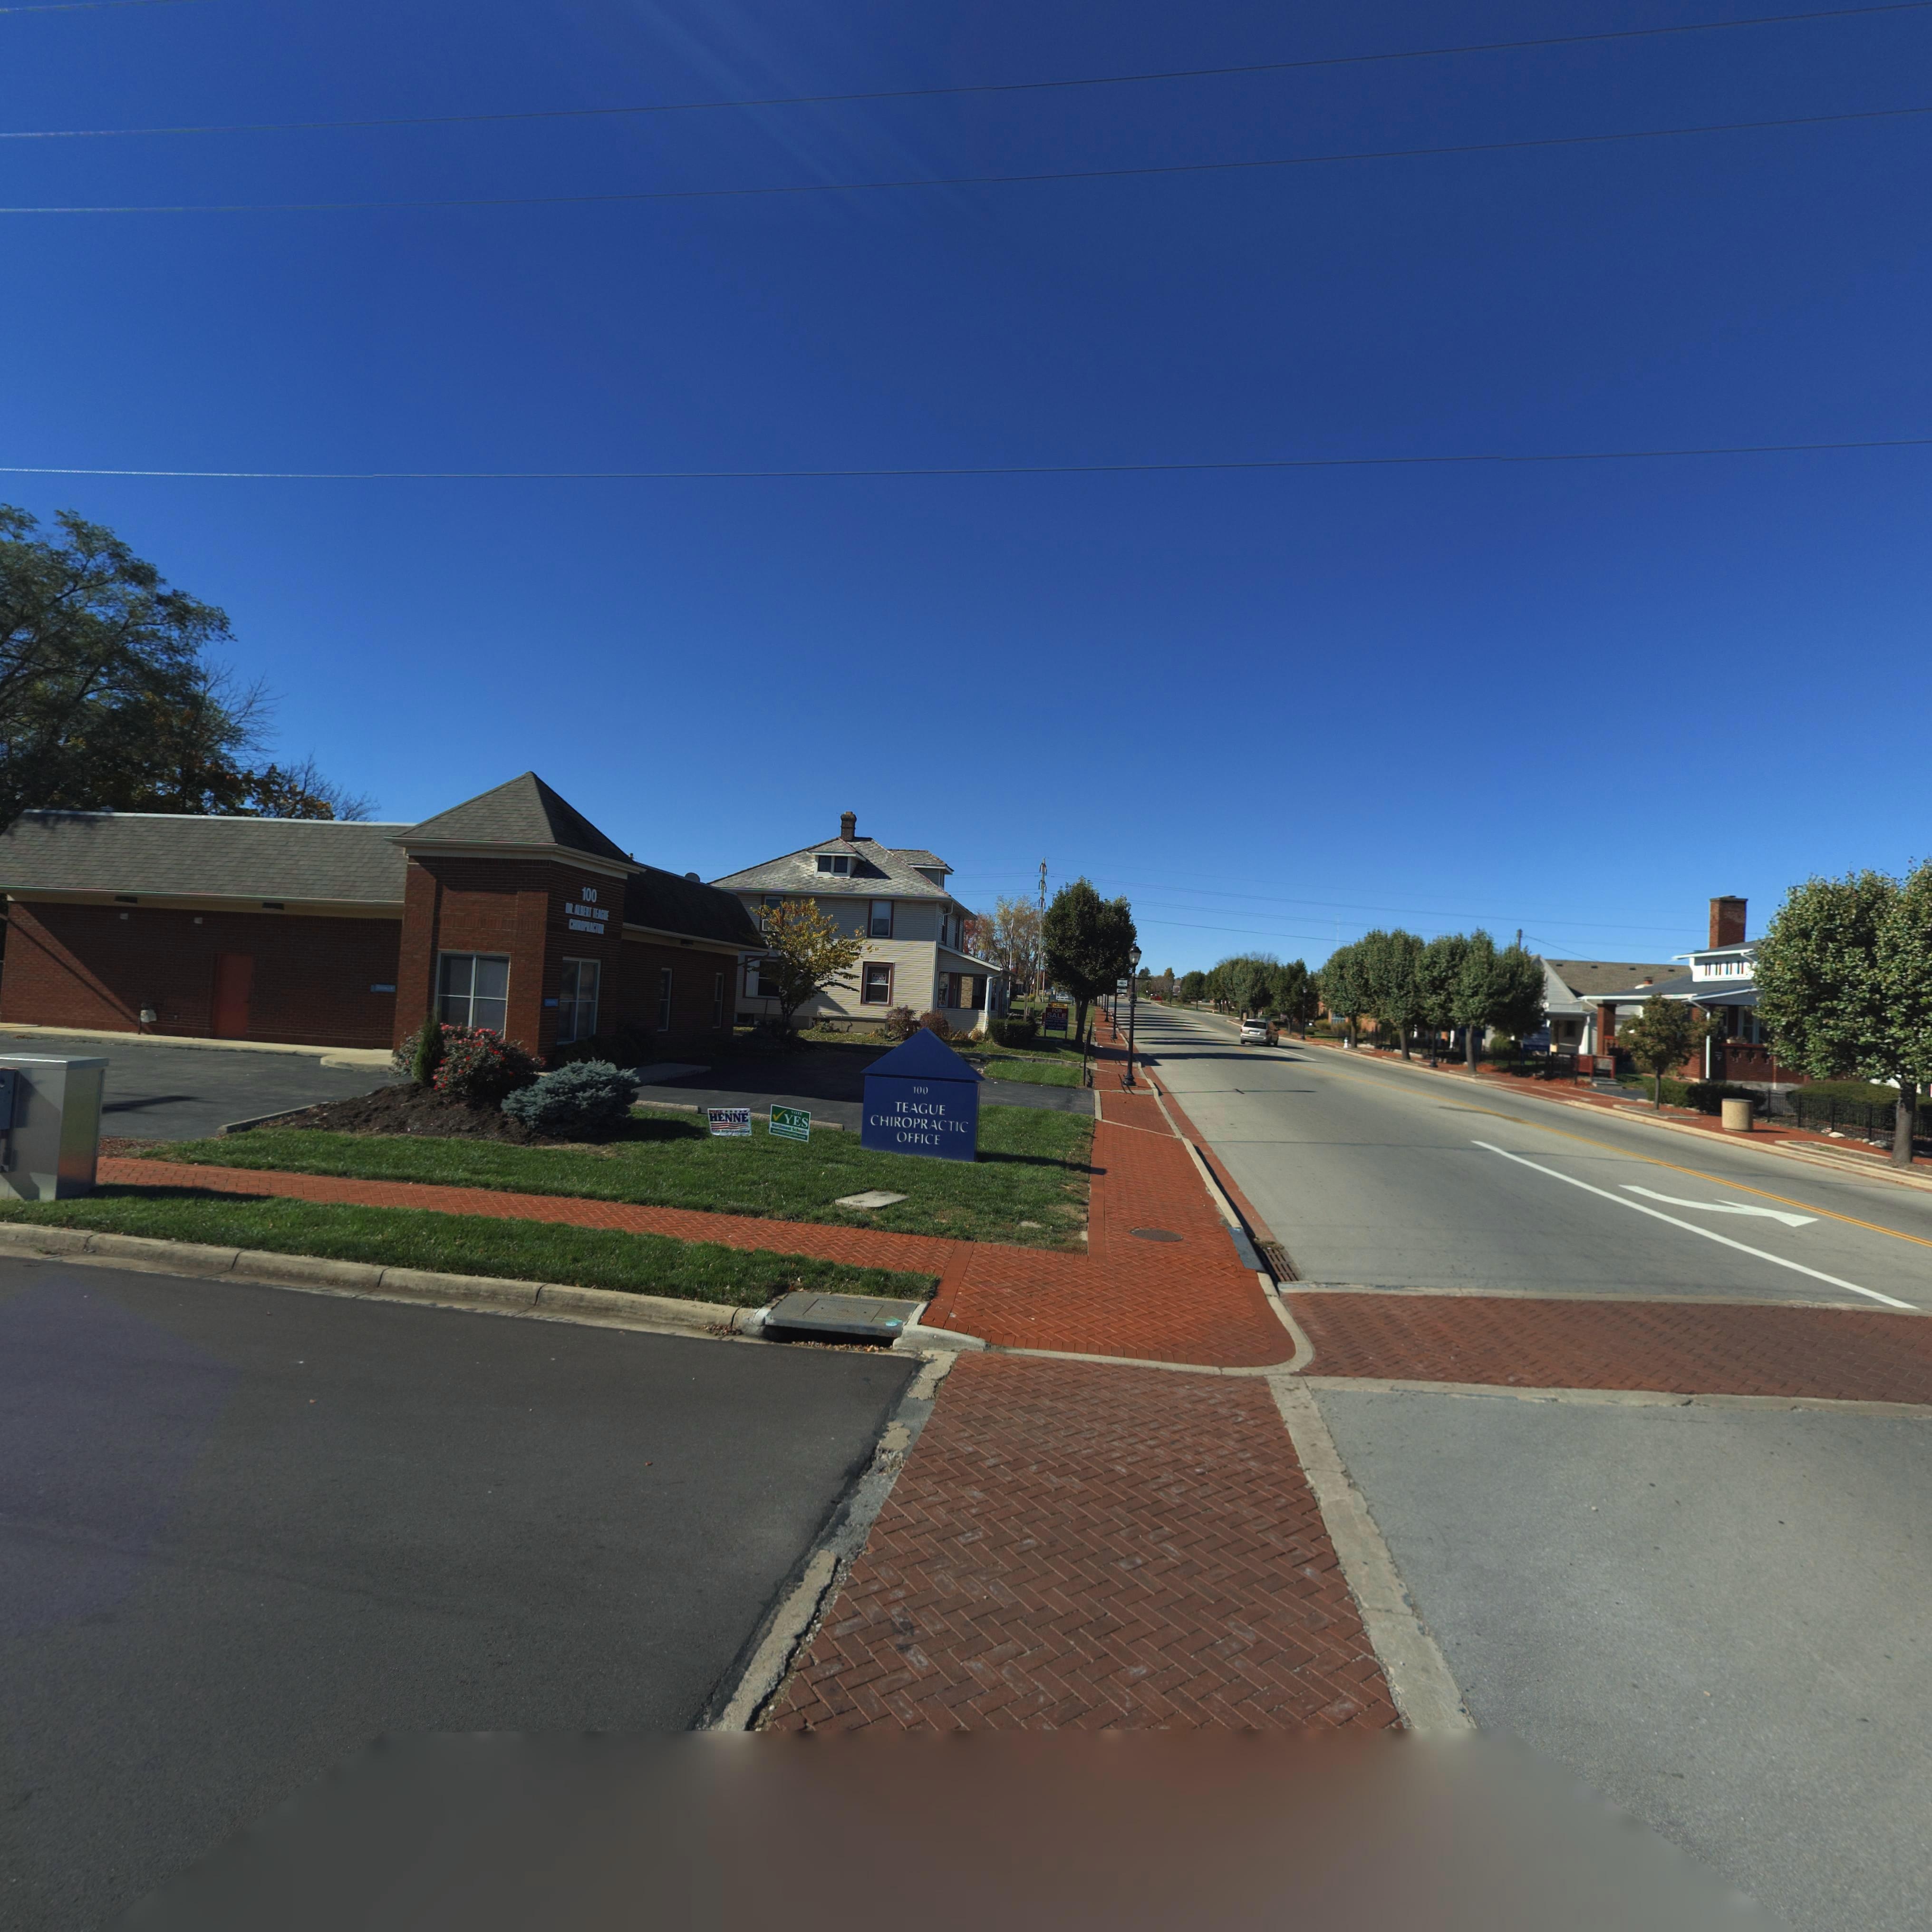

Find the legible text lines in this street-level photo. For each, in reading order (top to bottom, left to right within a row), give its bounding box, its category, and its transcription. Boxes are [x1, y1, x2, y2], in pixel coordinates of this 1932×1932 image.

[581, 887, 598, 903] StreetNumber: 100
[565, 901, 610, 922] BusinessName: DR. ALBERT TEAGUE
[568, 918, 605, 935] BusinessName: CHIROPRACTOR
[912, 1086, 928, 1095] StreetNumber: 100
[893, 1101, 947, 1116] BusinessName: TEAGUE
[869, 1113, 969, 1134] BusinessName: CHIROPRACTIC
[895, 1130, 942, 1146] BusinessName: OFFICE